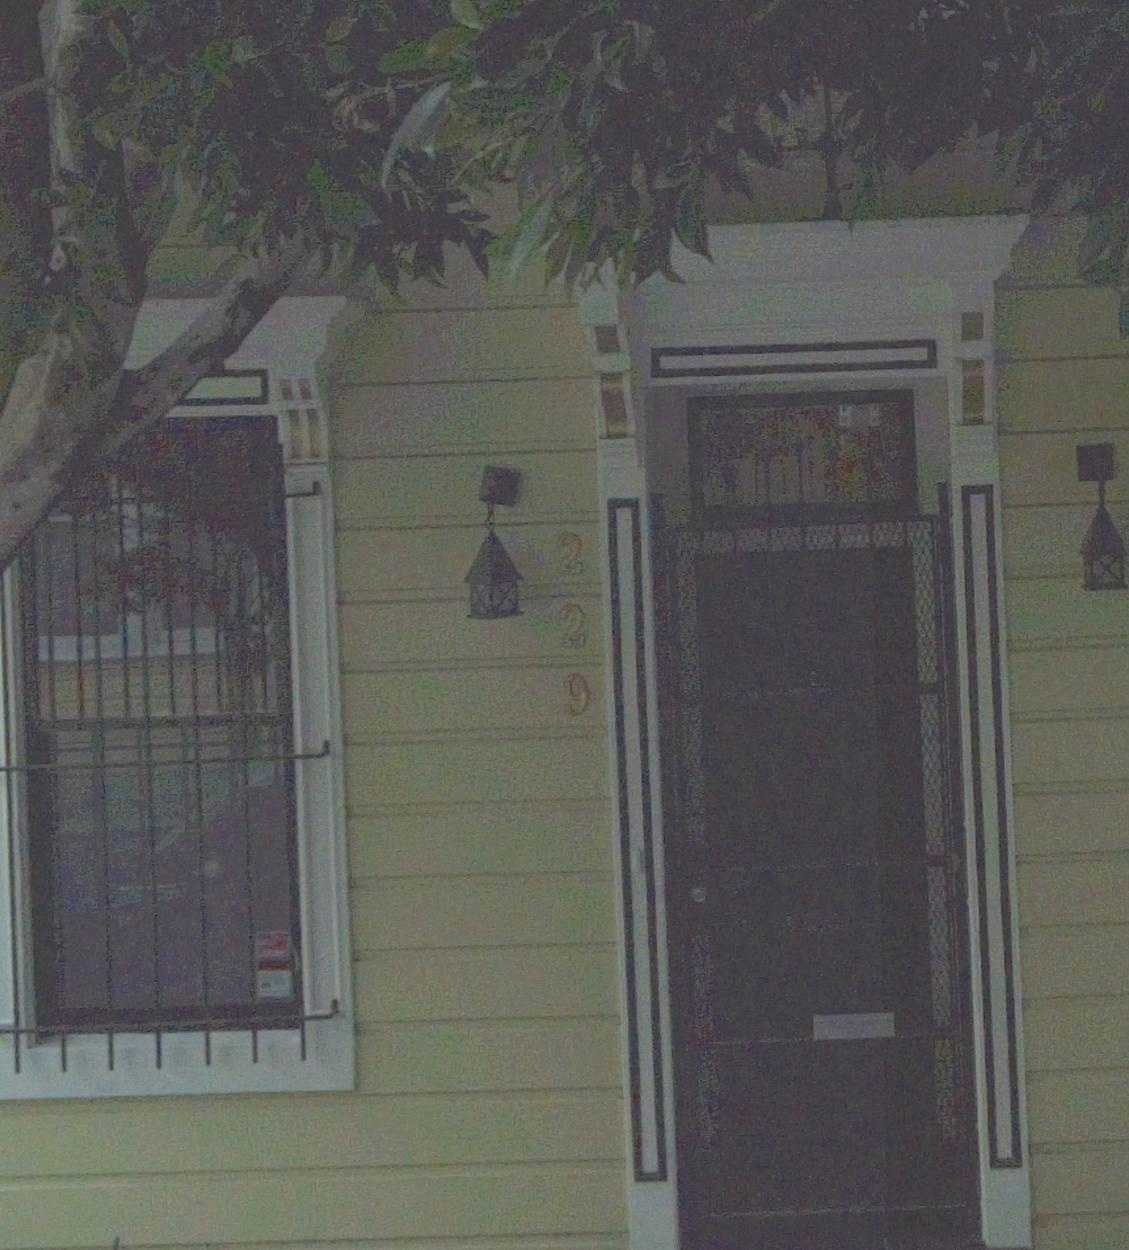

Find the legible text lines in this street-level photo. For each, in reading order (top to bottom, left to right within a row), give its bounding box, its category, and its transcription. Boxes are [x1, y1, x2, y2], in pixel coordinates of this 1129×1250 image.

[554, 527, 594, 718] StreetNumber: 229